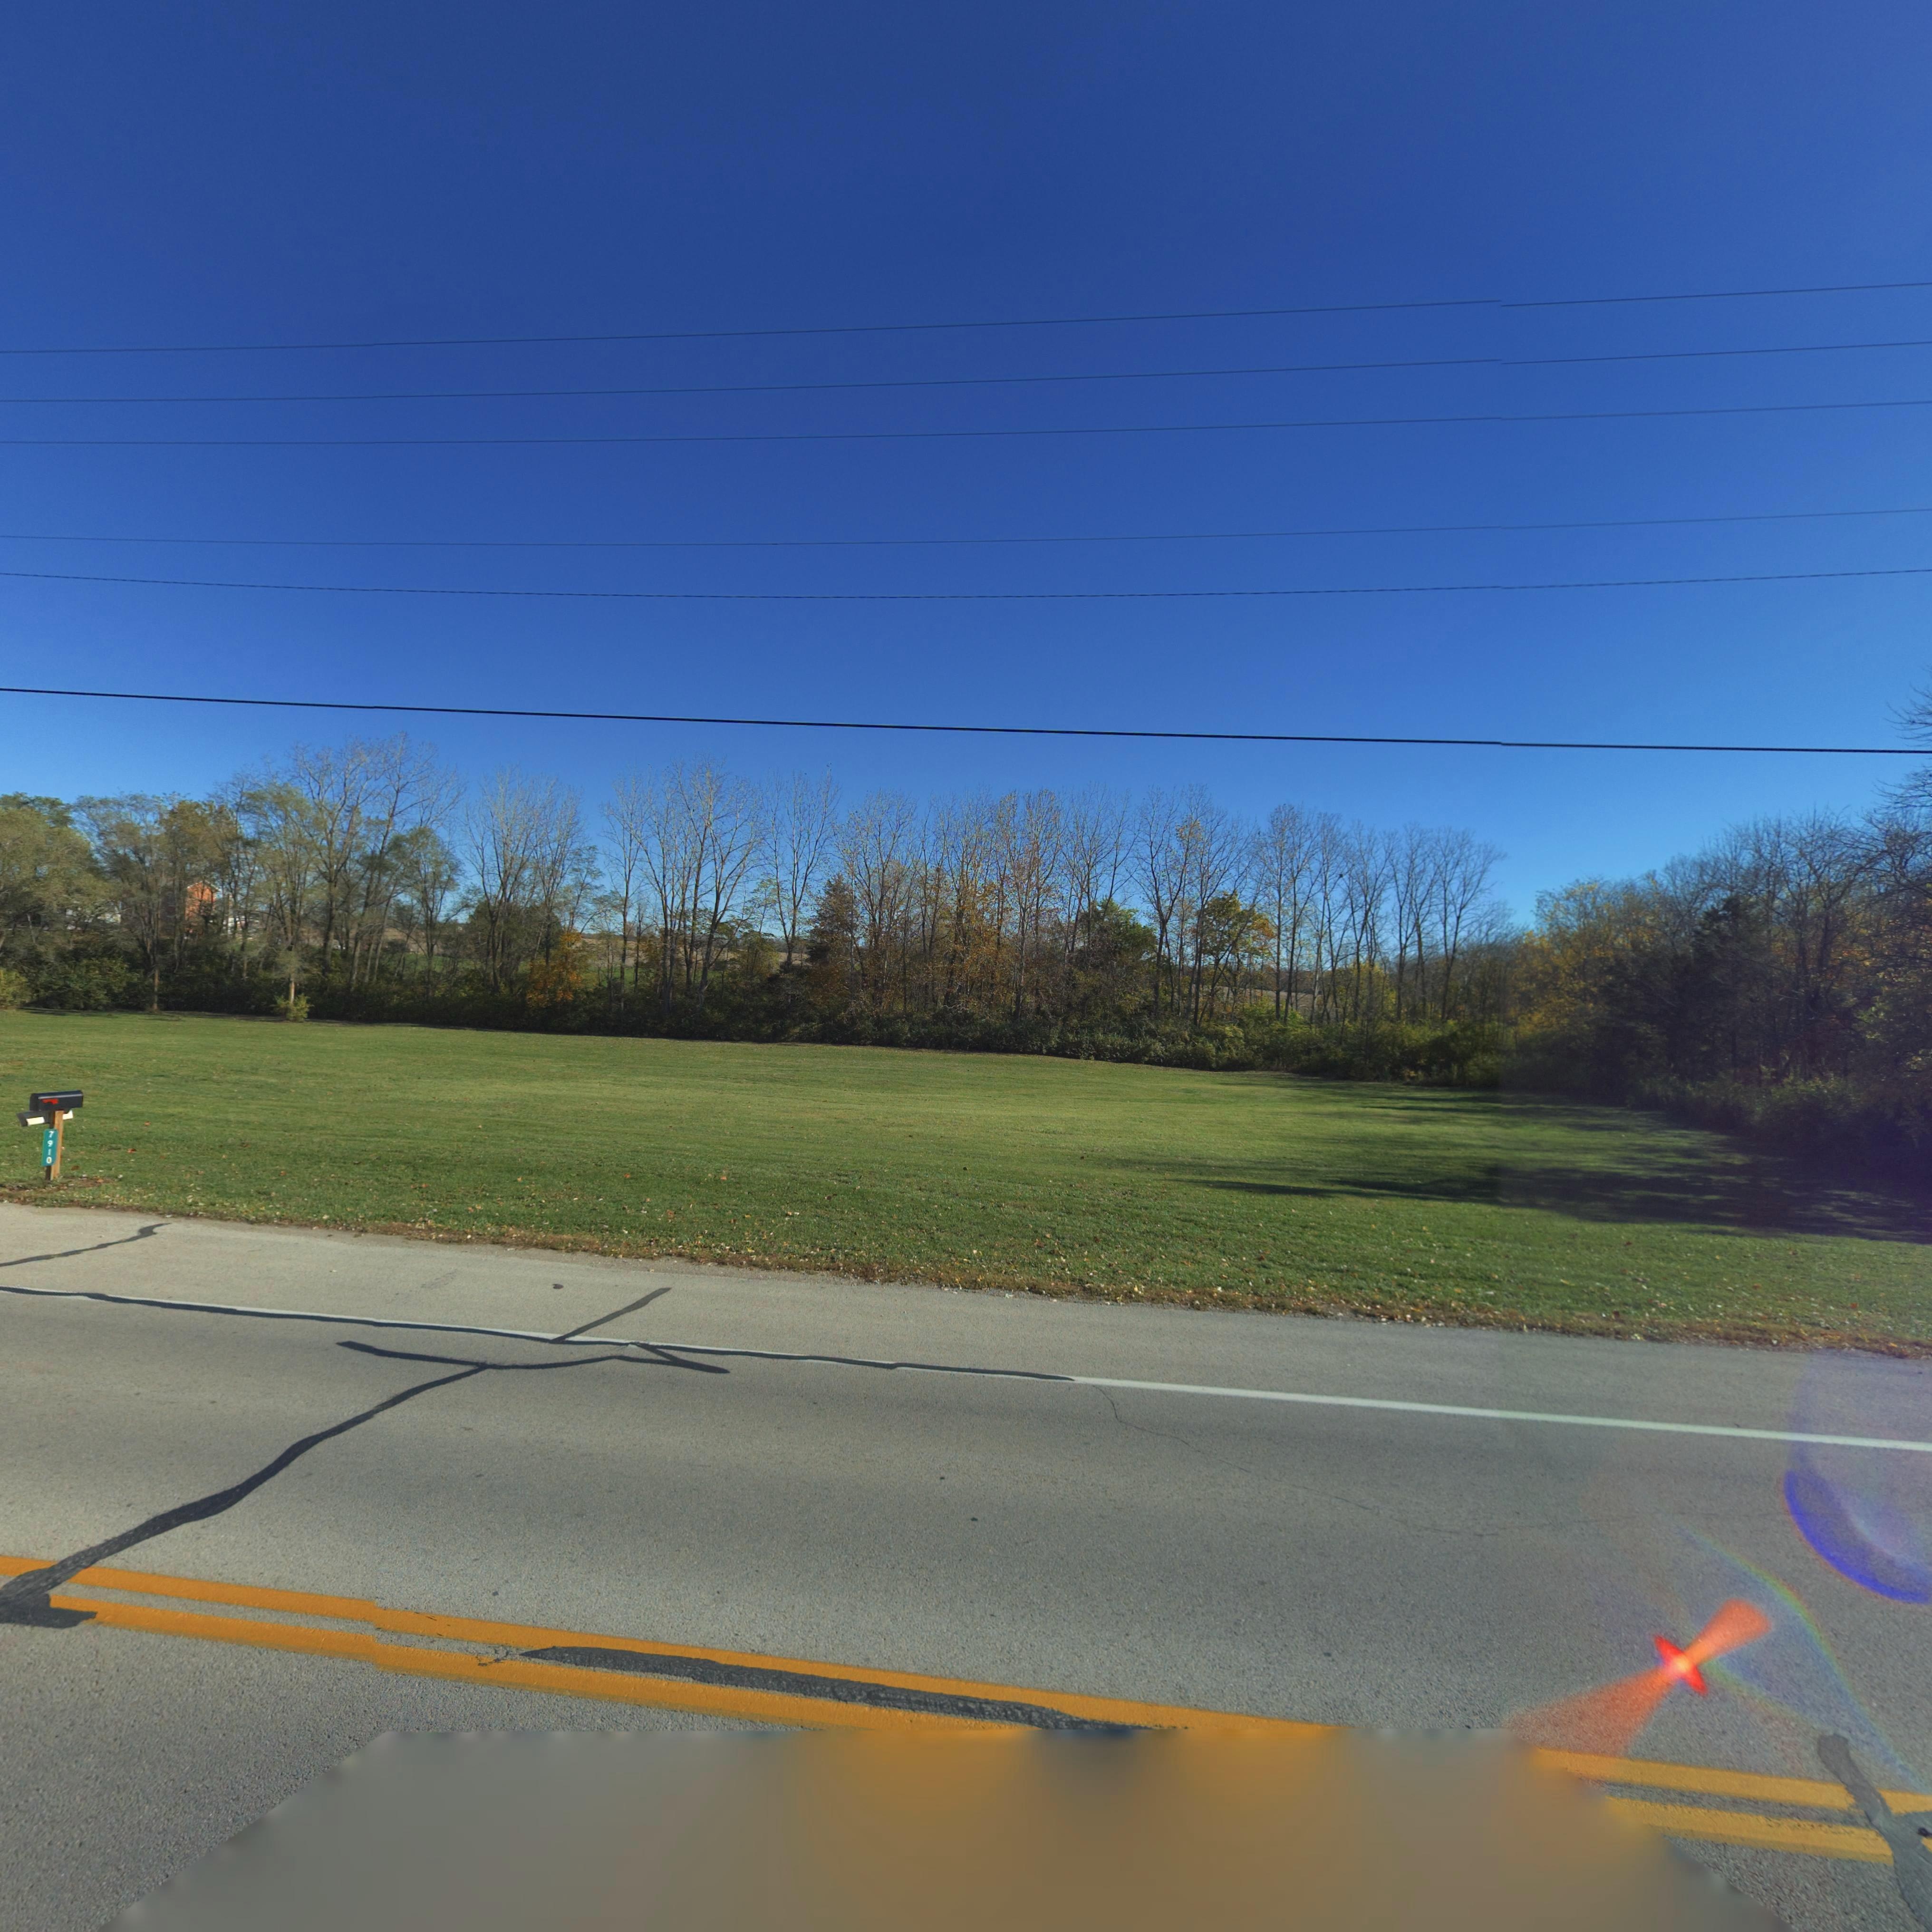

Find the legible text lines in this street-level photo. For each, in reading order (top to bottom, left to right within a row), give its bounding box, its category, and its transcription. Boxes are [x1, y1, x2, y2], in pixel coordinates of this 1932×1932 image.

[46, 1130, 55, 1165] StreetNumber: 7910